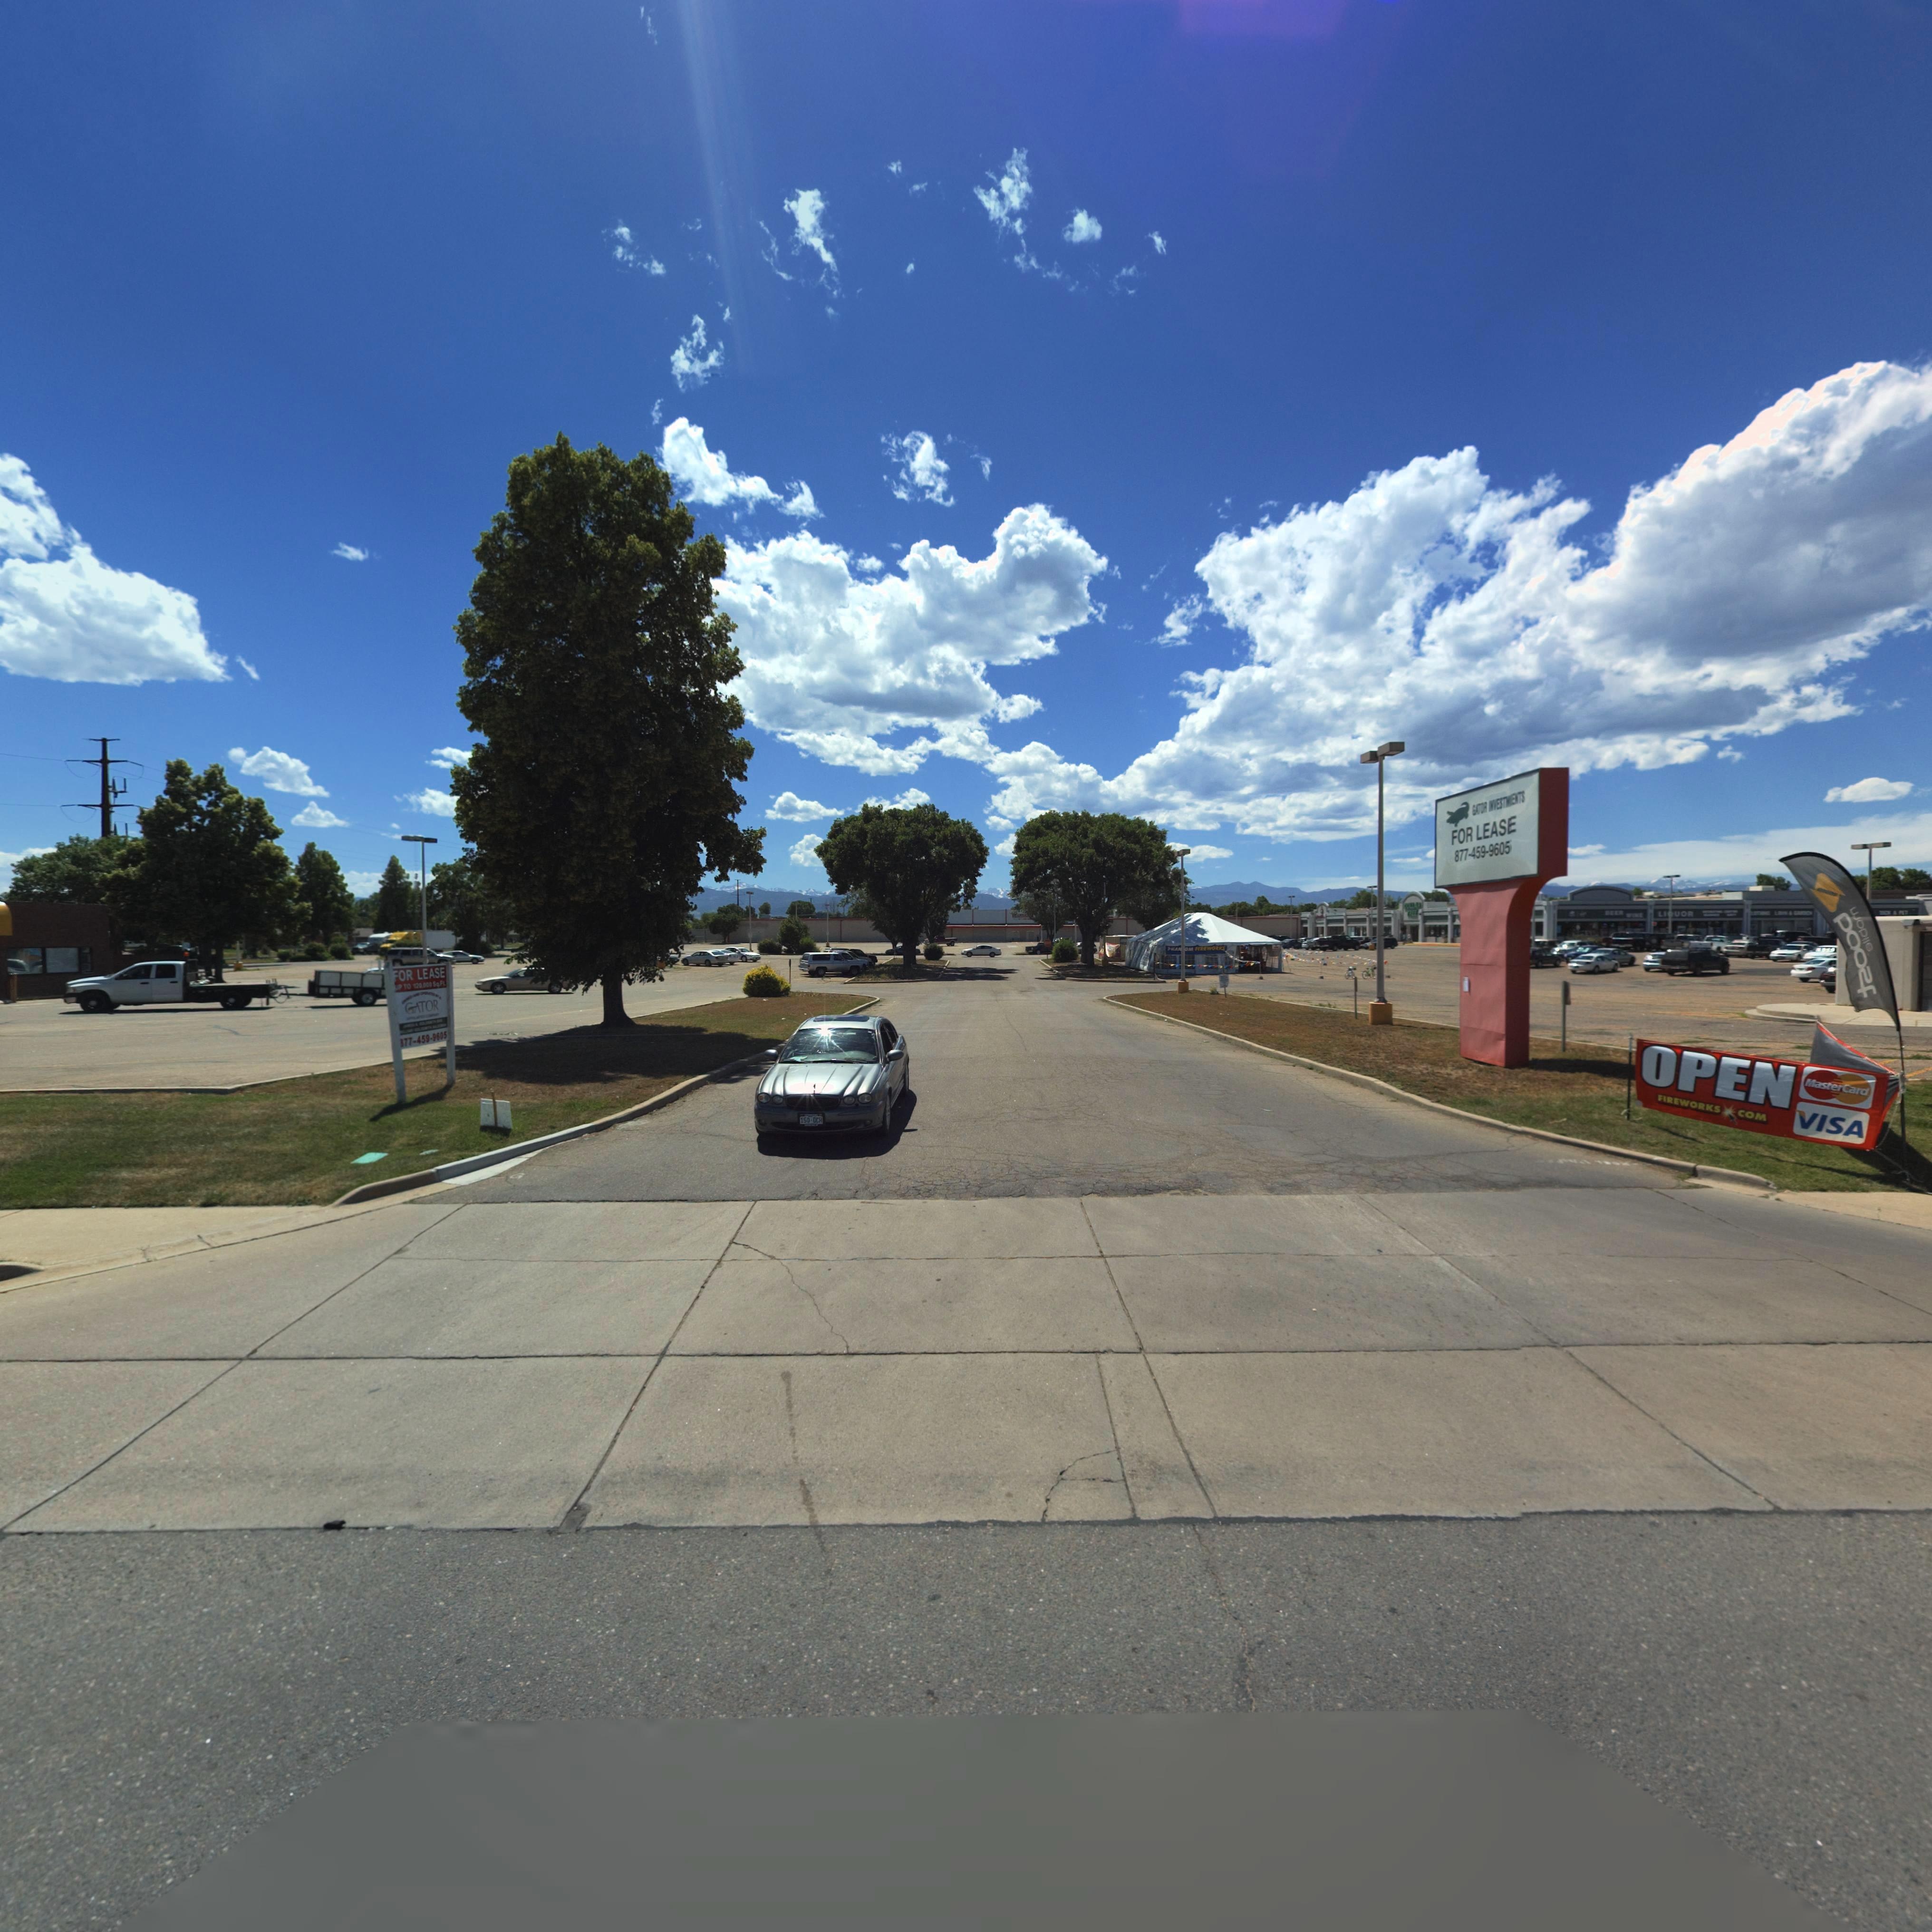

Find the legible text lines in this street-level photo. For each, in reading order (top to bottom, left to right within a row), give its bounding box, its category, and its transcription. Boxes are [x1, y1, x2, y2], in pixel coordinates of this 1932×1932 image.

[1402, 901, 1421, 910] BusinessName: DOLLAR
[1406, 909, 1417, 916] BusinessName: TREE